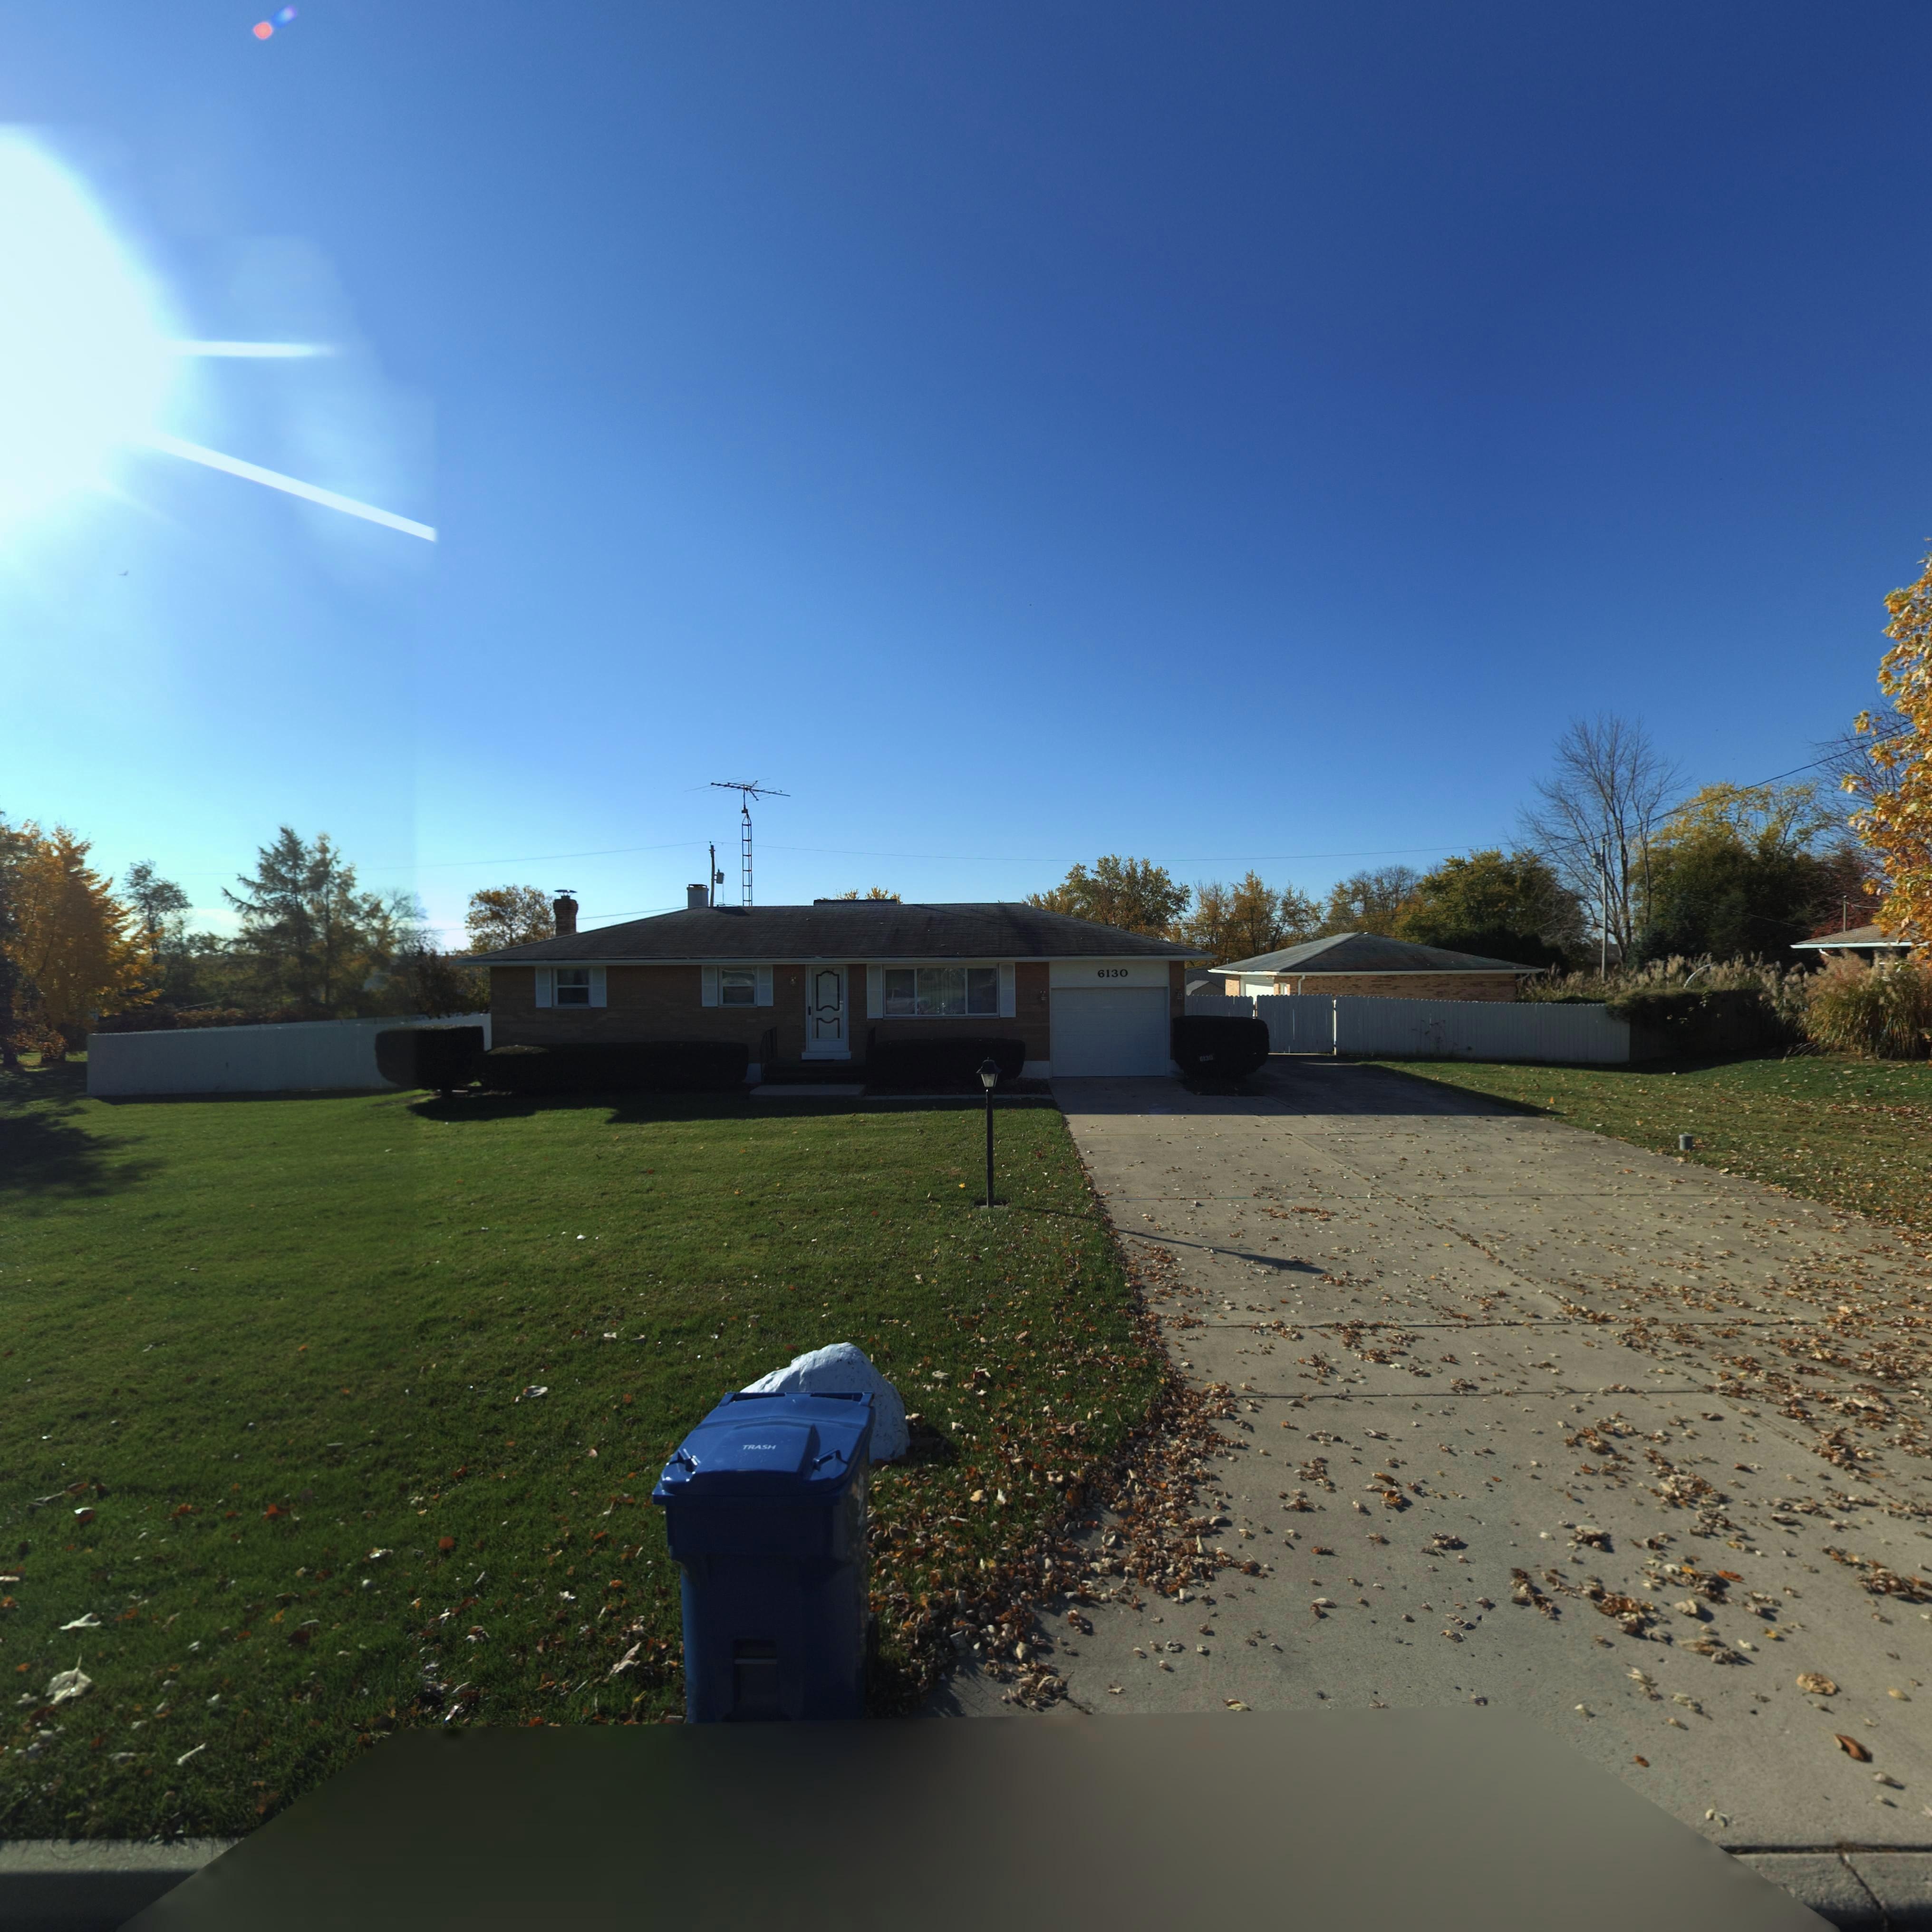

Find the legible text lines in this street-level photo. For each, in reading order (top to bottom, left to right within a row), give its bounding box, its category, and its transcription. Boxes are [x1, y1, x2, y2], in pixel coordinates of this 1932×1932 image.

[1097, 968, 1129, 978] StreetNumber: 6130
[1199, 1054, 1214, 1063] StreetNumber: 6130